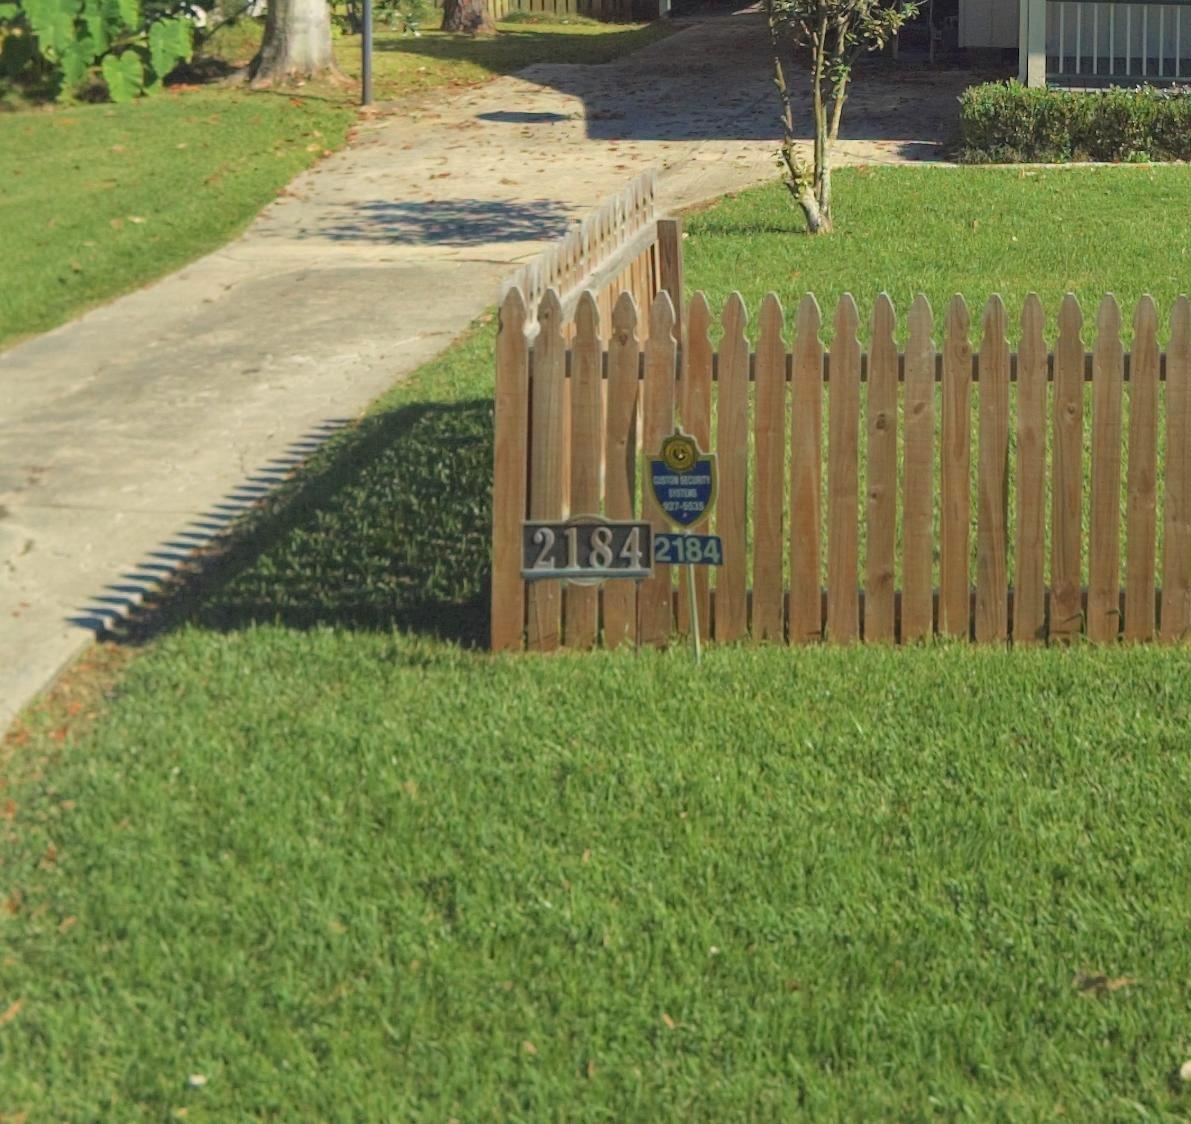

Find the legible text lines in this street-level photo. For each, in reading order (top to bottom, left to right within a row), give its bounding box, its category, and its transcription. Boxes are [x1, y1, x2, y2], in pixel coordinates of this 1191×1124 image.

[531, 524, 646, 573] StreetNumber: 2184
[651, 533, 723, 565] StreetNumber: 2184